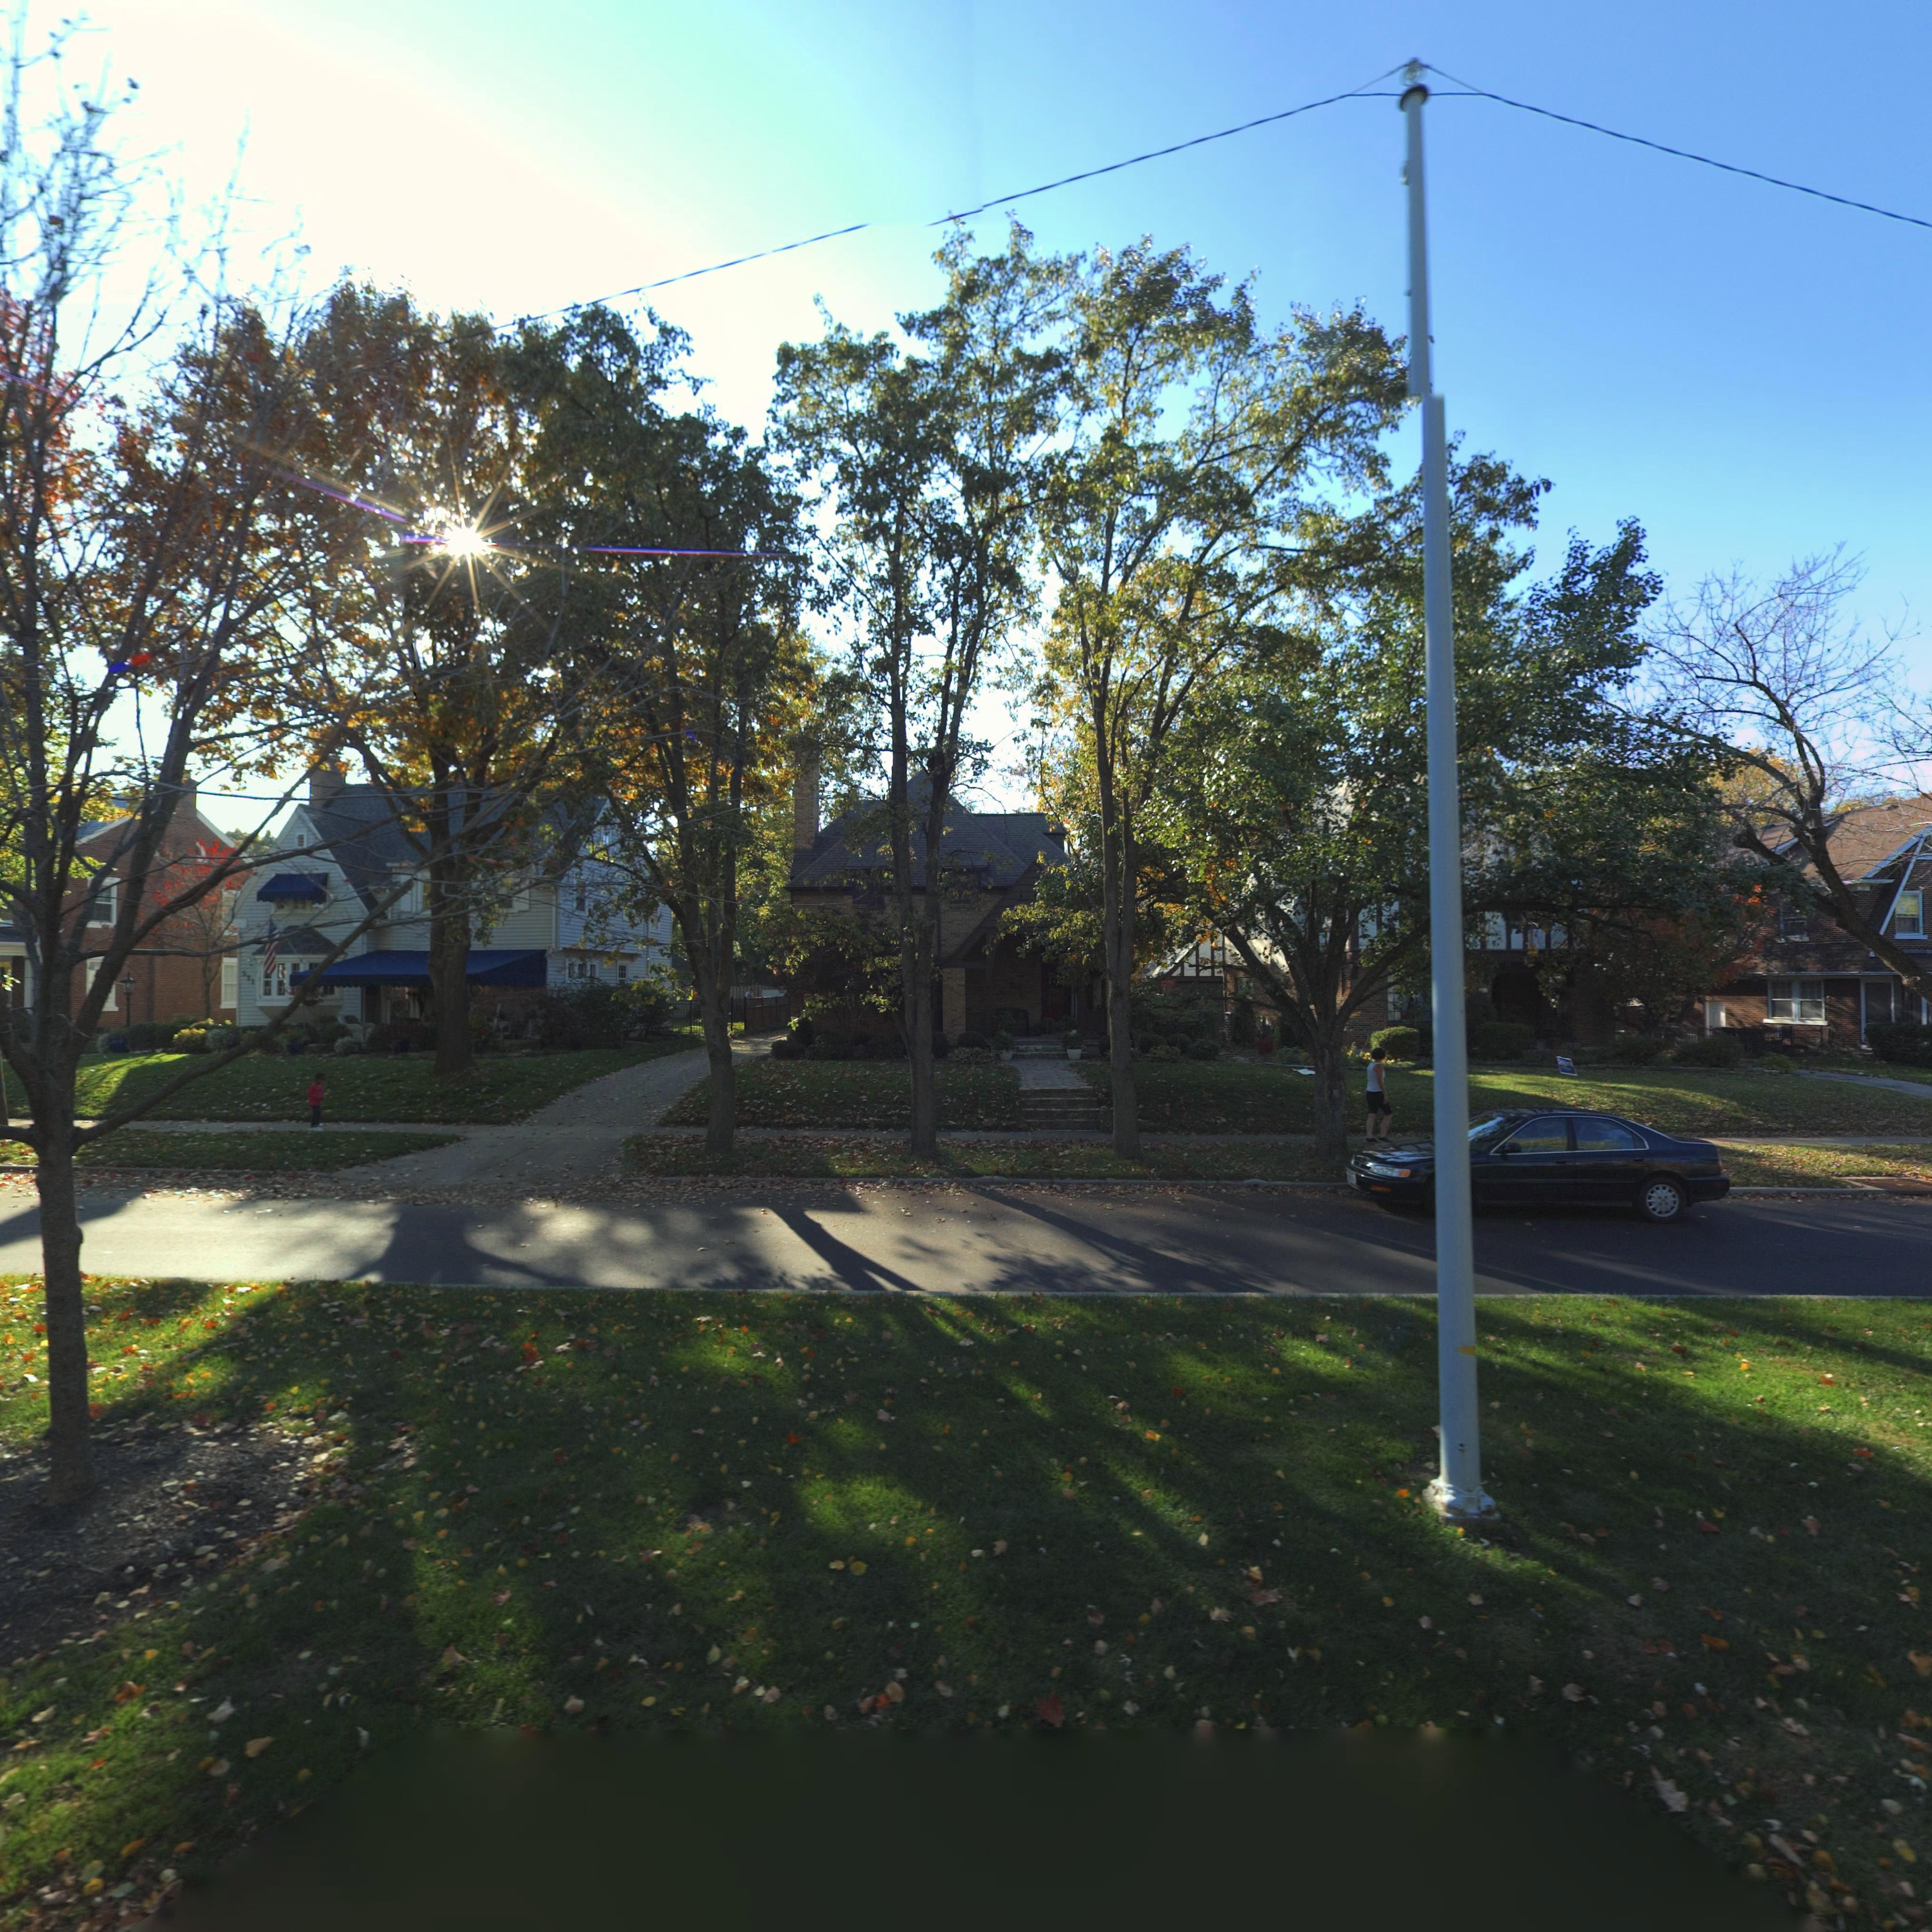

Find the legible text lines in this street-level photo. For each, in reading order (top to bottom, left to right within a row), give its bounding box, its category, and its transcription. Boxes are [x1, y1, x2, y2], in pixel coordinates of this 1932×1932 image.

[241, 969, 255, 985] StreetNumber: 521
[1007, 981, 1023, 990] StreetNumber: 51*